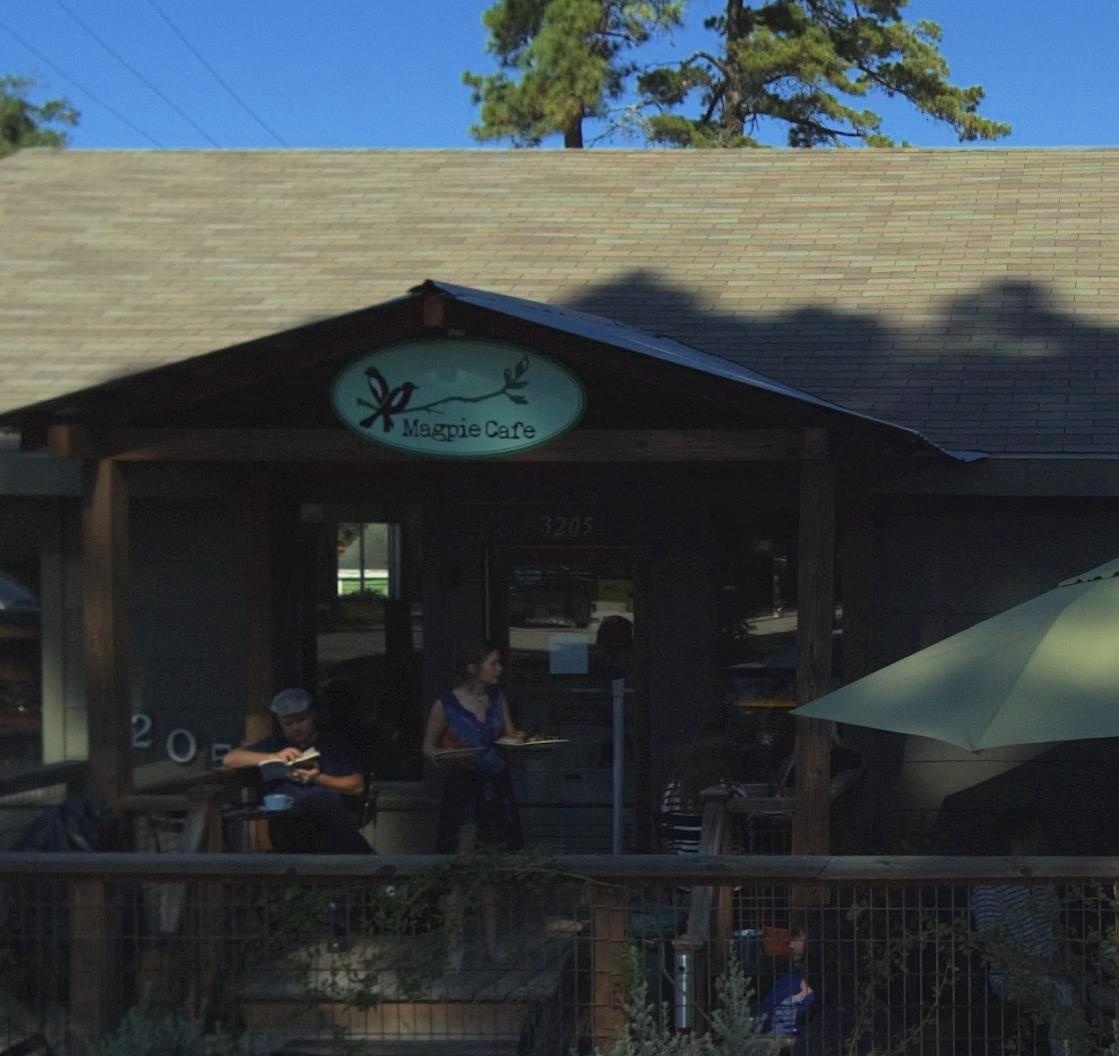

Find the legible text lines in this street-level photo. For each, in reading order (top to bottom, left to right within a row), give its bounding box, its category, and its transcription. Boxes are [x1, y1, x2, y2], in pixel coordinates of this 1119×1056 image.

[399, 413, 540, 446] BusinessName: Magpie Cafe
[537, 514, 594, 539] StreetNumber: 3205
[127, 709, 201, 768] StreetNumber: 20